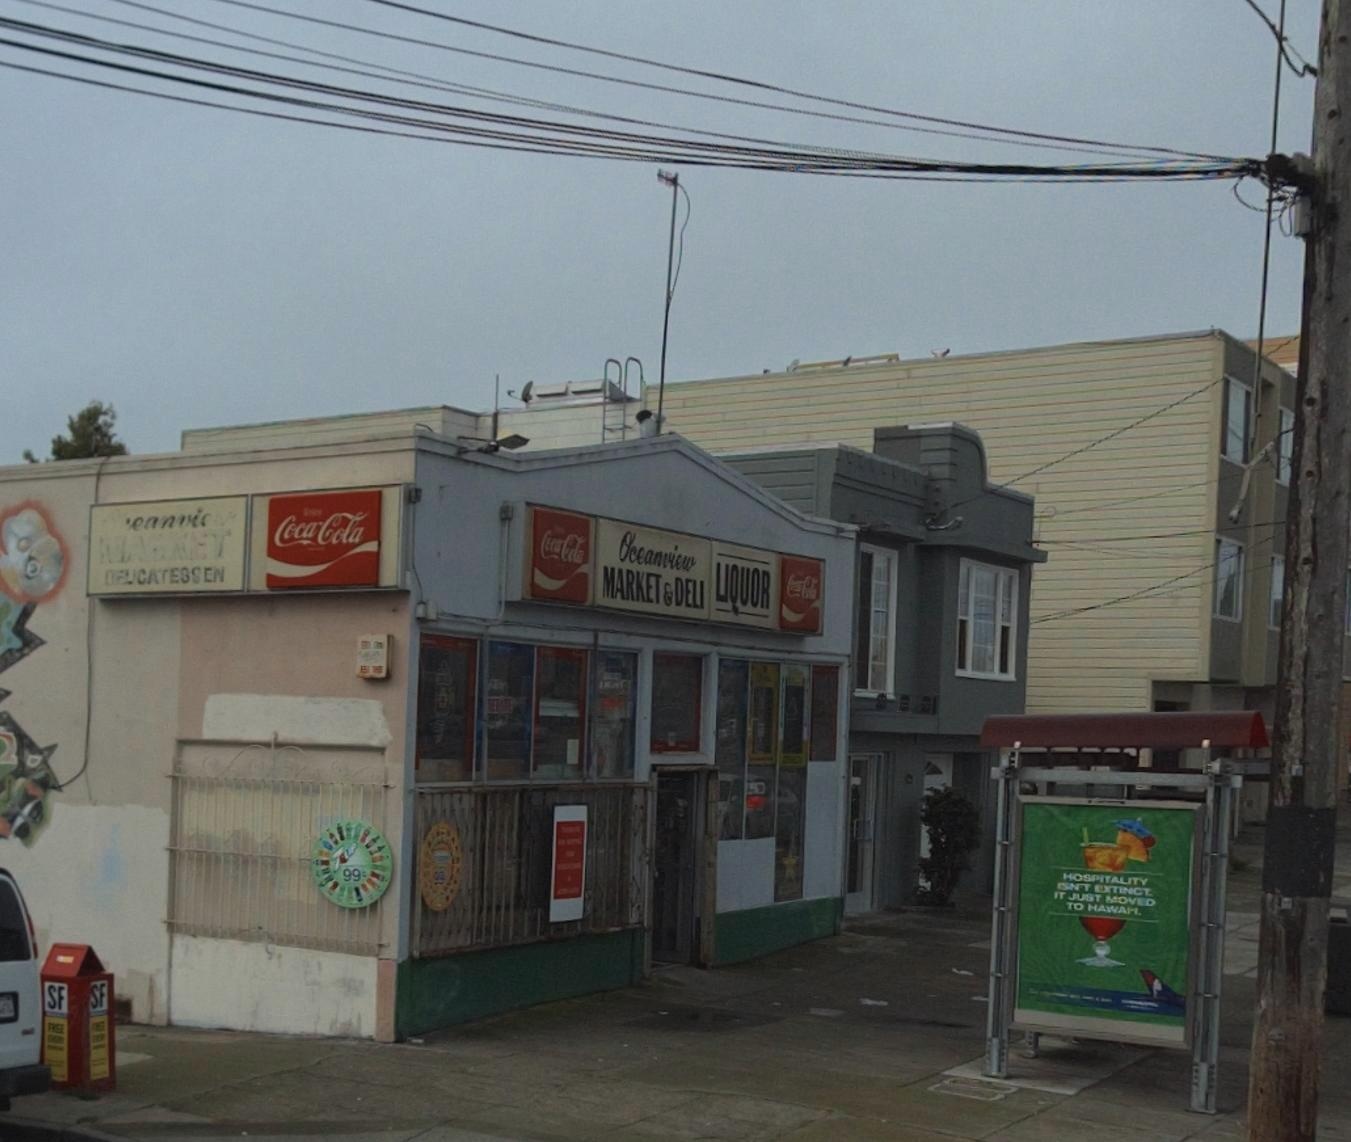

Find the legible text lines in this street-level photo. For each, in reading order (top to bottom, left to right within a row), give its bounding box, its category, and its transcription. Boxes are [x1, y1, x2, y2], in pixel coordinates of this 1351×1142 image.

[89, 524, 235, 570] BusinessName: MA**ET
[90, 503, 241, 537] BusinessName: **eanvi**
[267, 509, 371, 551] None: Coca-Cola
[535, 526, 587, 567] None: Coca-Cola
[616, 527, 703, 575] BusinessName: Oceanview
[101, 562, 227, 589] BusinessName: DELICATESSEN
[599, 562, 706, 611] BusinessName: MARKET & DELI
[712, 558, 772, 620] None: LIQUOR
[782, 571, 819, 601] None: Coca-Cola
[340, 865, 364, 884] None: 99
[1062, 900, 1144, 919] None: TO HAWAII.
[1051, 888, 1157, 910] None: IT JUST MOVED
[1059, 870, 1151, 888] None: HOSPITALITY\
[1055, 878, 1155, 899] None: ISN'T EXTINCT
[44, 981, 66, 1016] None: SF
[88, 980, 107, 1013] None: SF
[45, 1019, 67, 1036] None: FREE